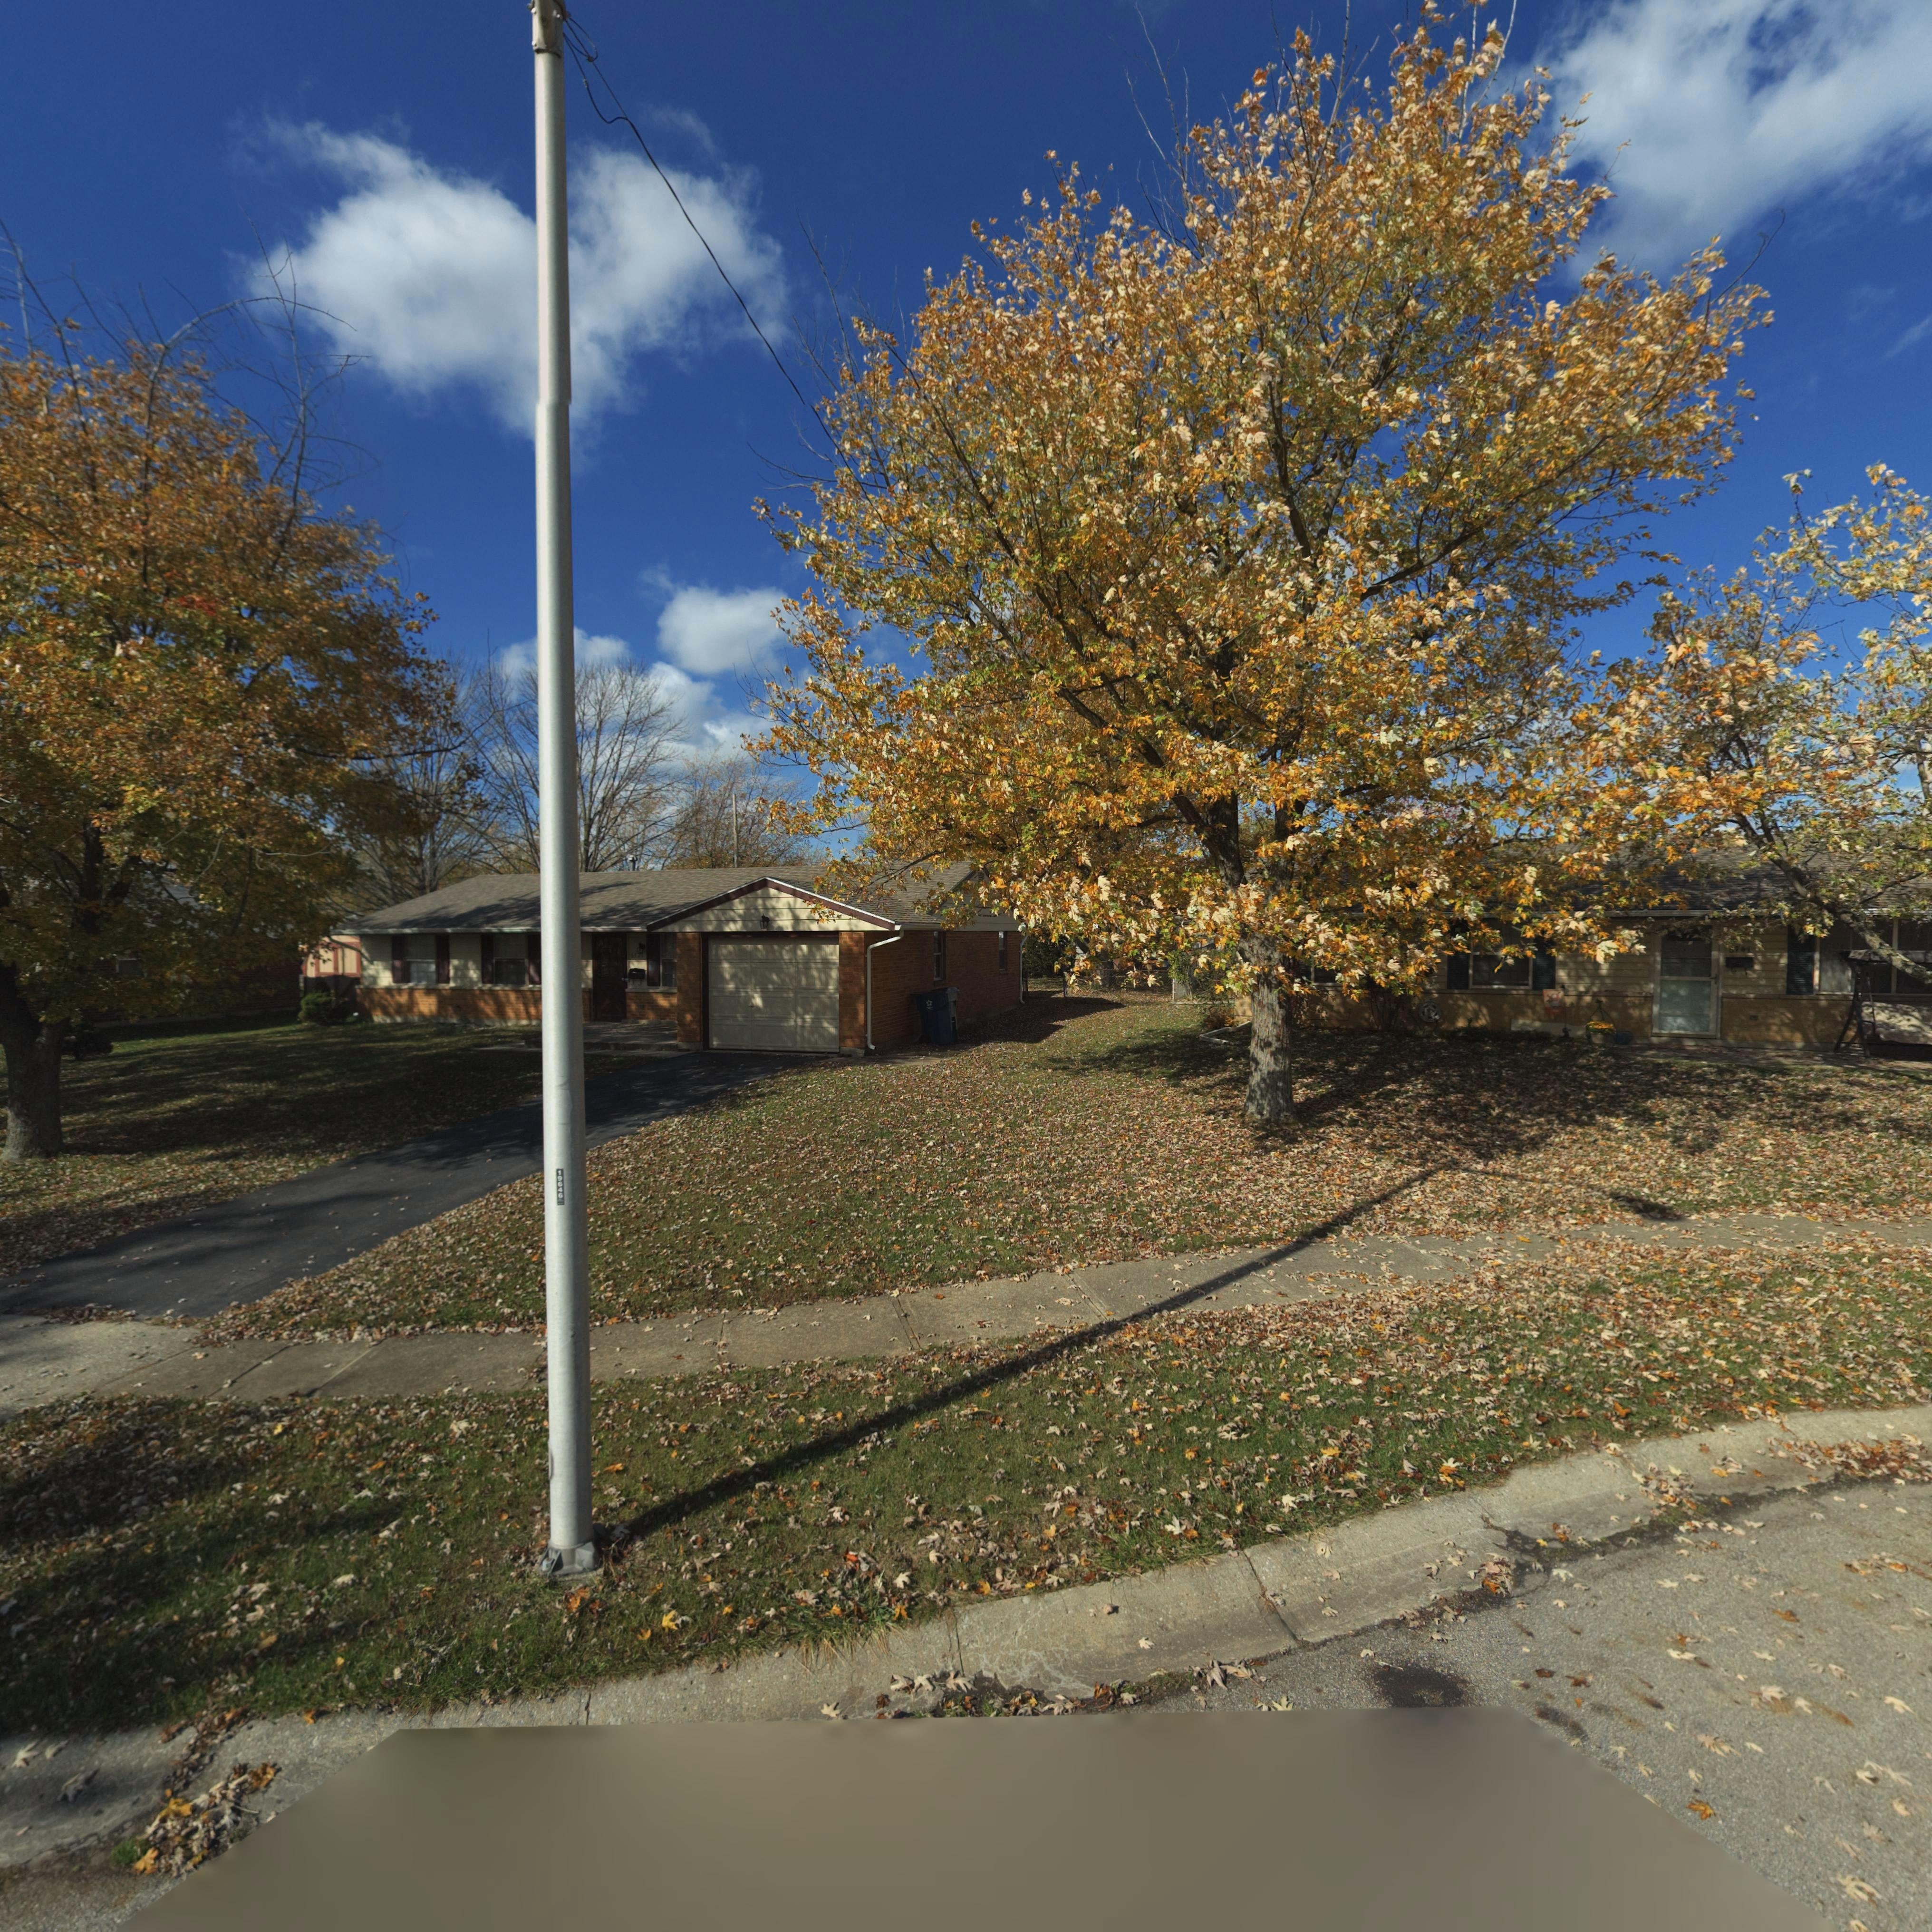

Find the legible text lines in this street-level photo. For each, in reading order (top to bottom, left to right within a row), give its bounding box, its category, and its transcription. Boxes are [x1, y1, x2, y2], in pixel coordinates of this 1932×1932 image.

[1735, 944, 1751, 954] StreetNumber: 741
[629, 952, 644, 958] StreetNumber: 67*1